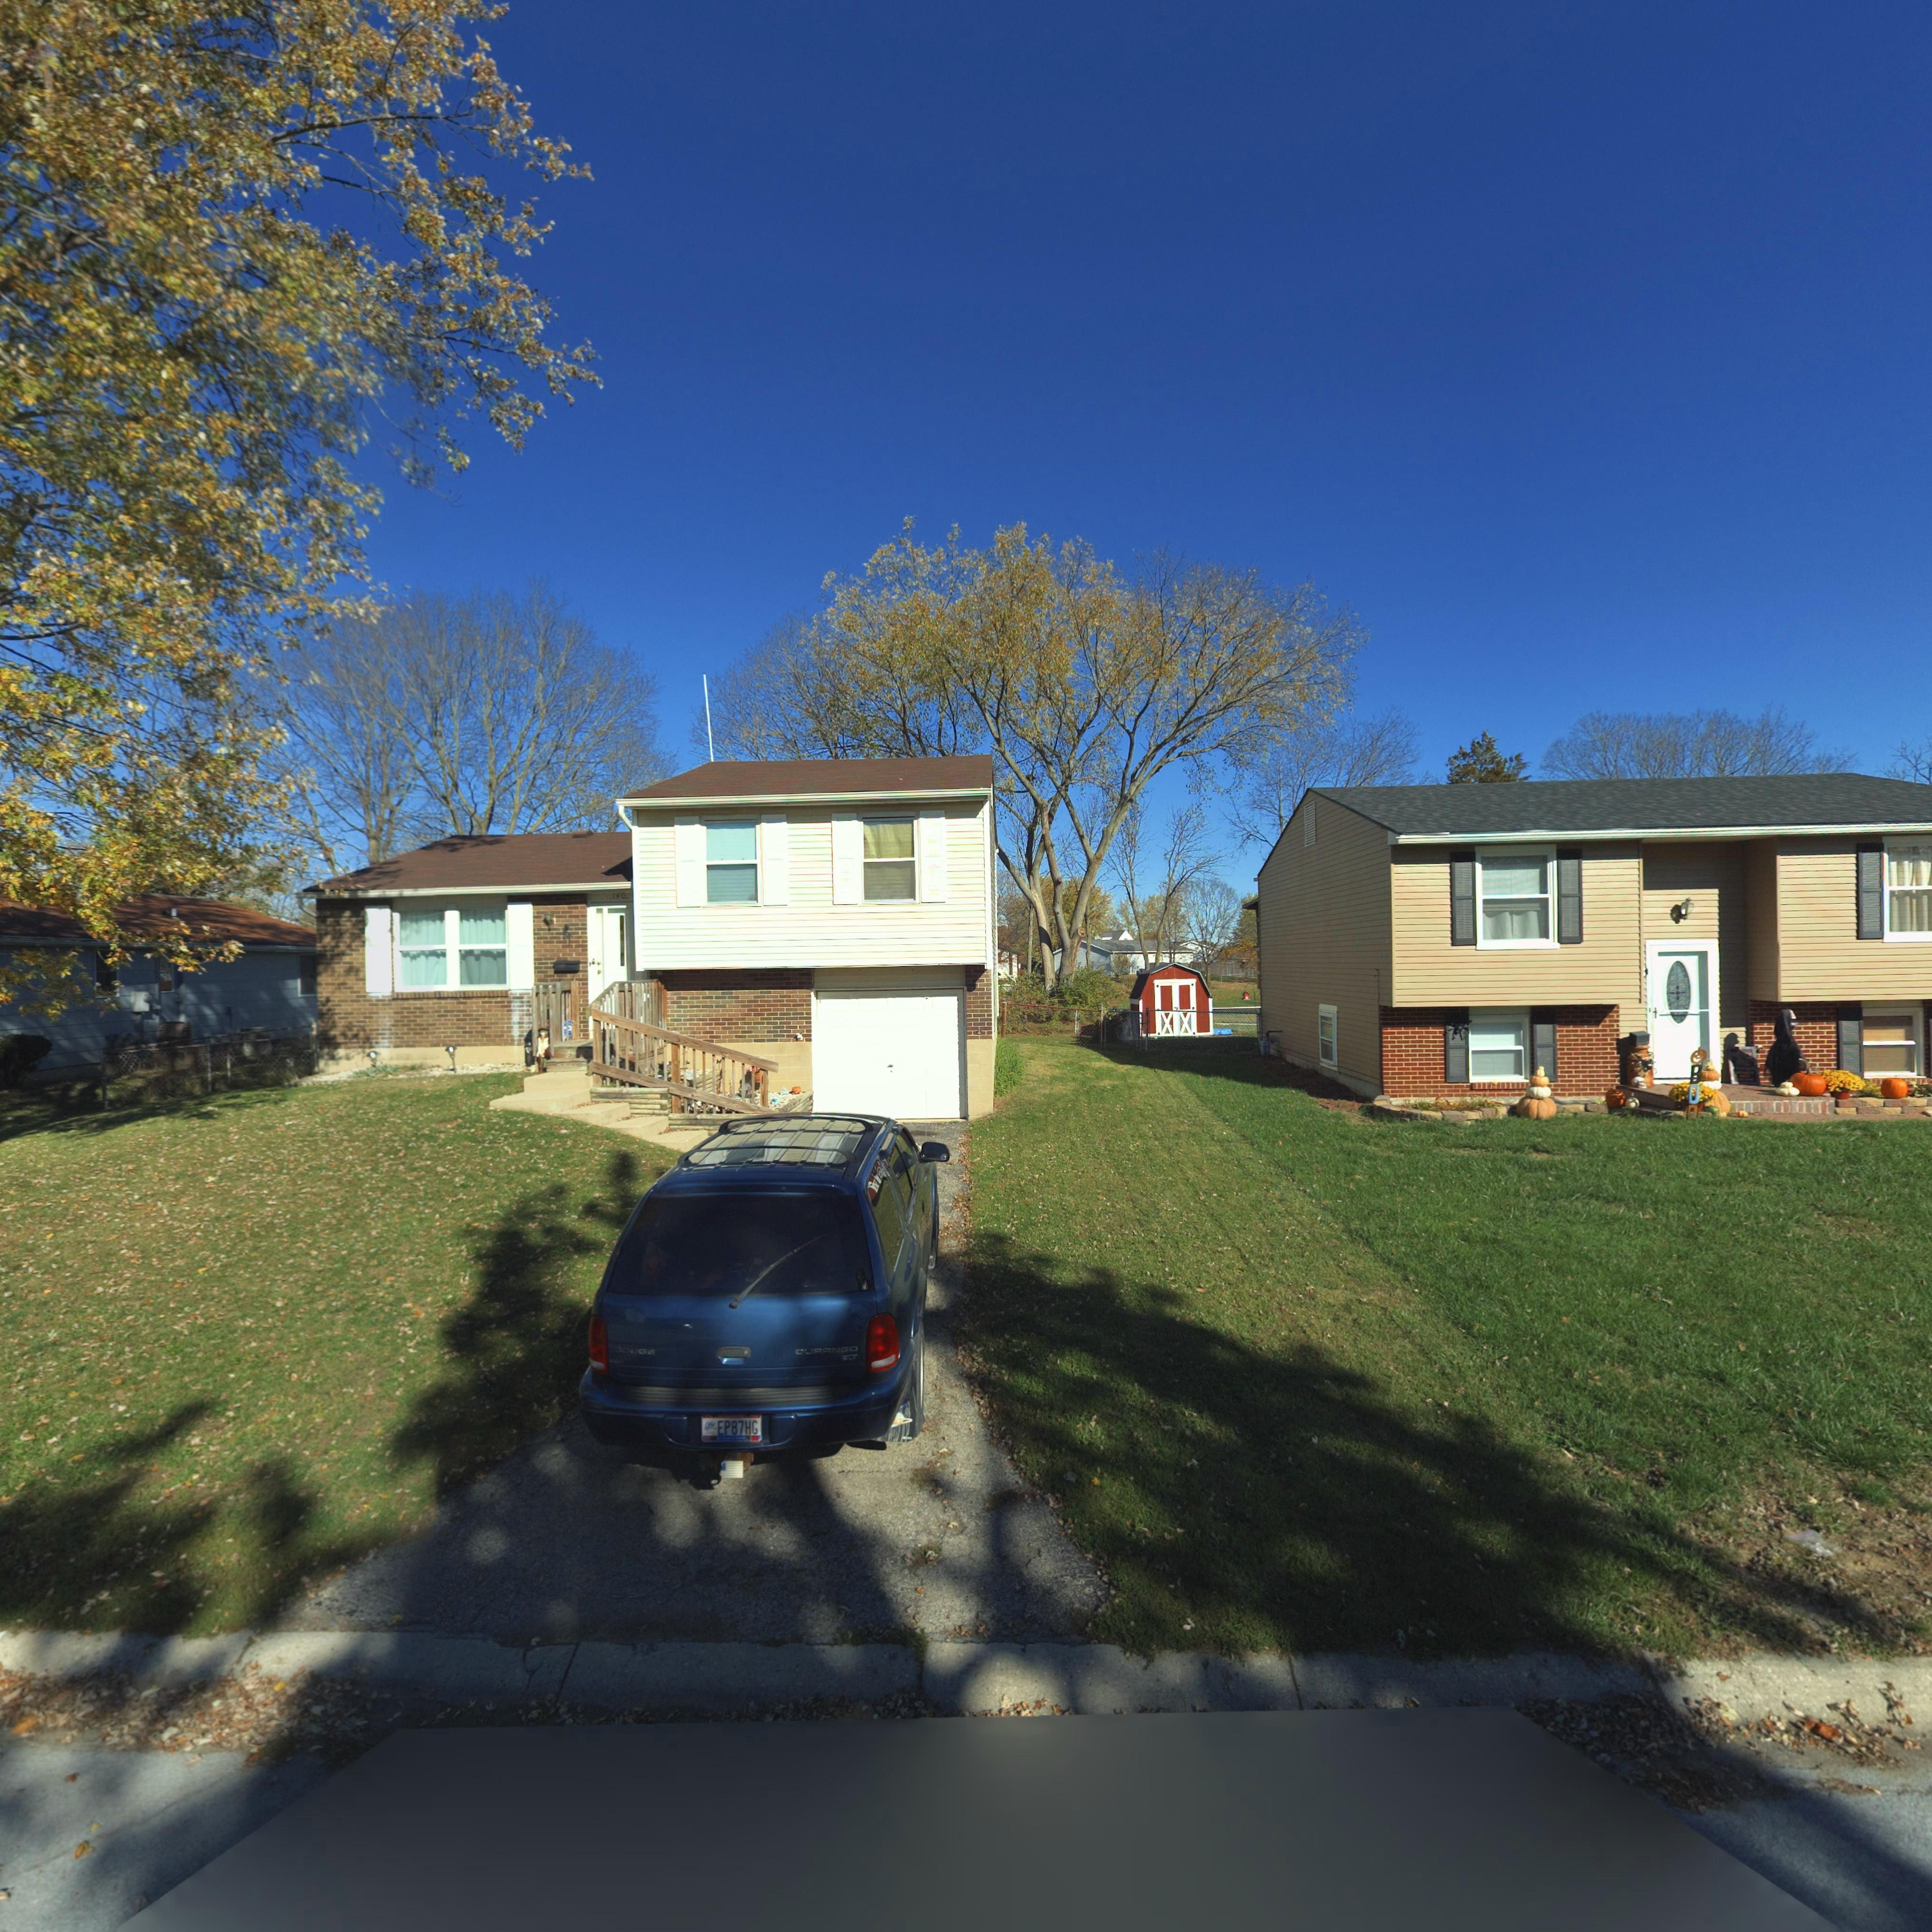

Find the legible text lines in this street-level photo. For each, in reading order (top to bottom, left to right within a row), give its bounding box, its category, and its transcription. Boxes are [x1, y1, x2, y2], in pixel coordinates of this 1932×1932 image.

[612, 892, 626, 900] StreetNumber: 140